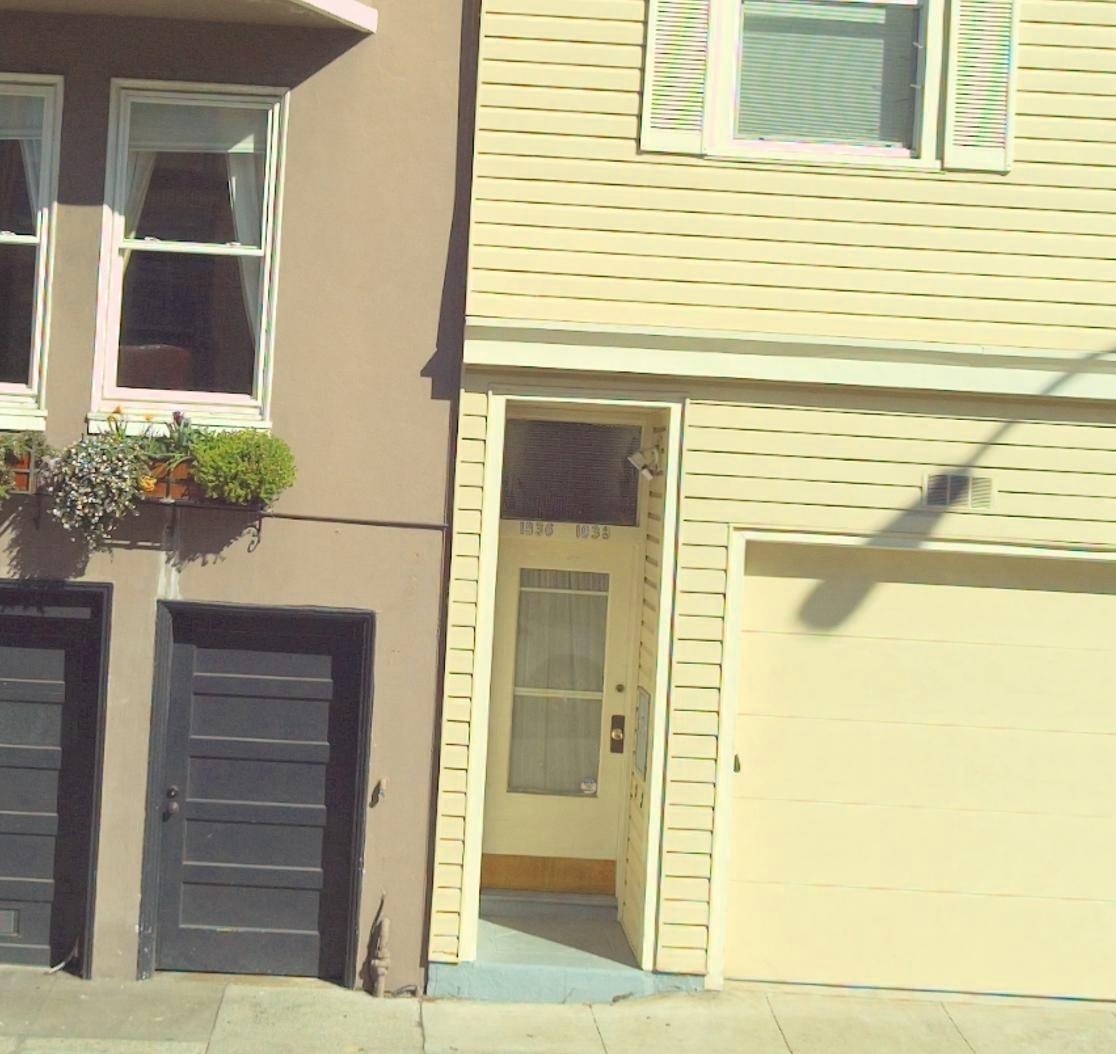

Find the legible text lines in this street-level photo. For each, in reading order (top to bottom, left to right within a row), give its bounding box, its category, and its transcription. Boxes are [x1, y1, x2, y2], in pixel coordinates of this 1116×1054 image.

[518, 519, 556, 538] StreetNumber: 1836
[574, 523, 612, 541] StreetNumber: 1838